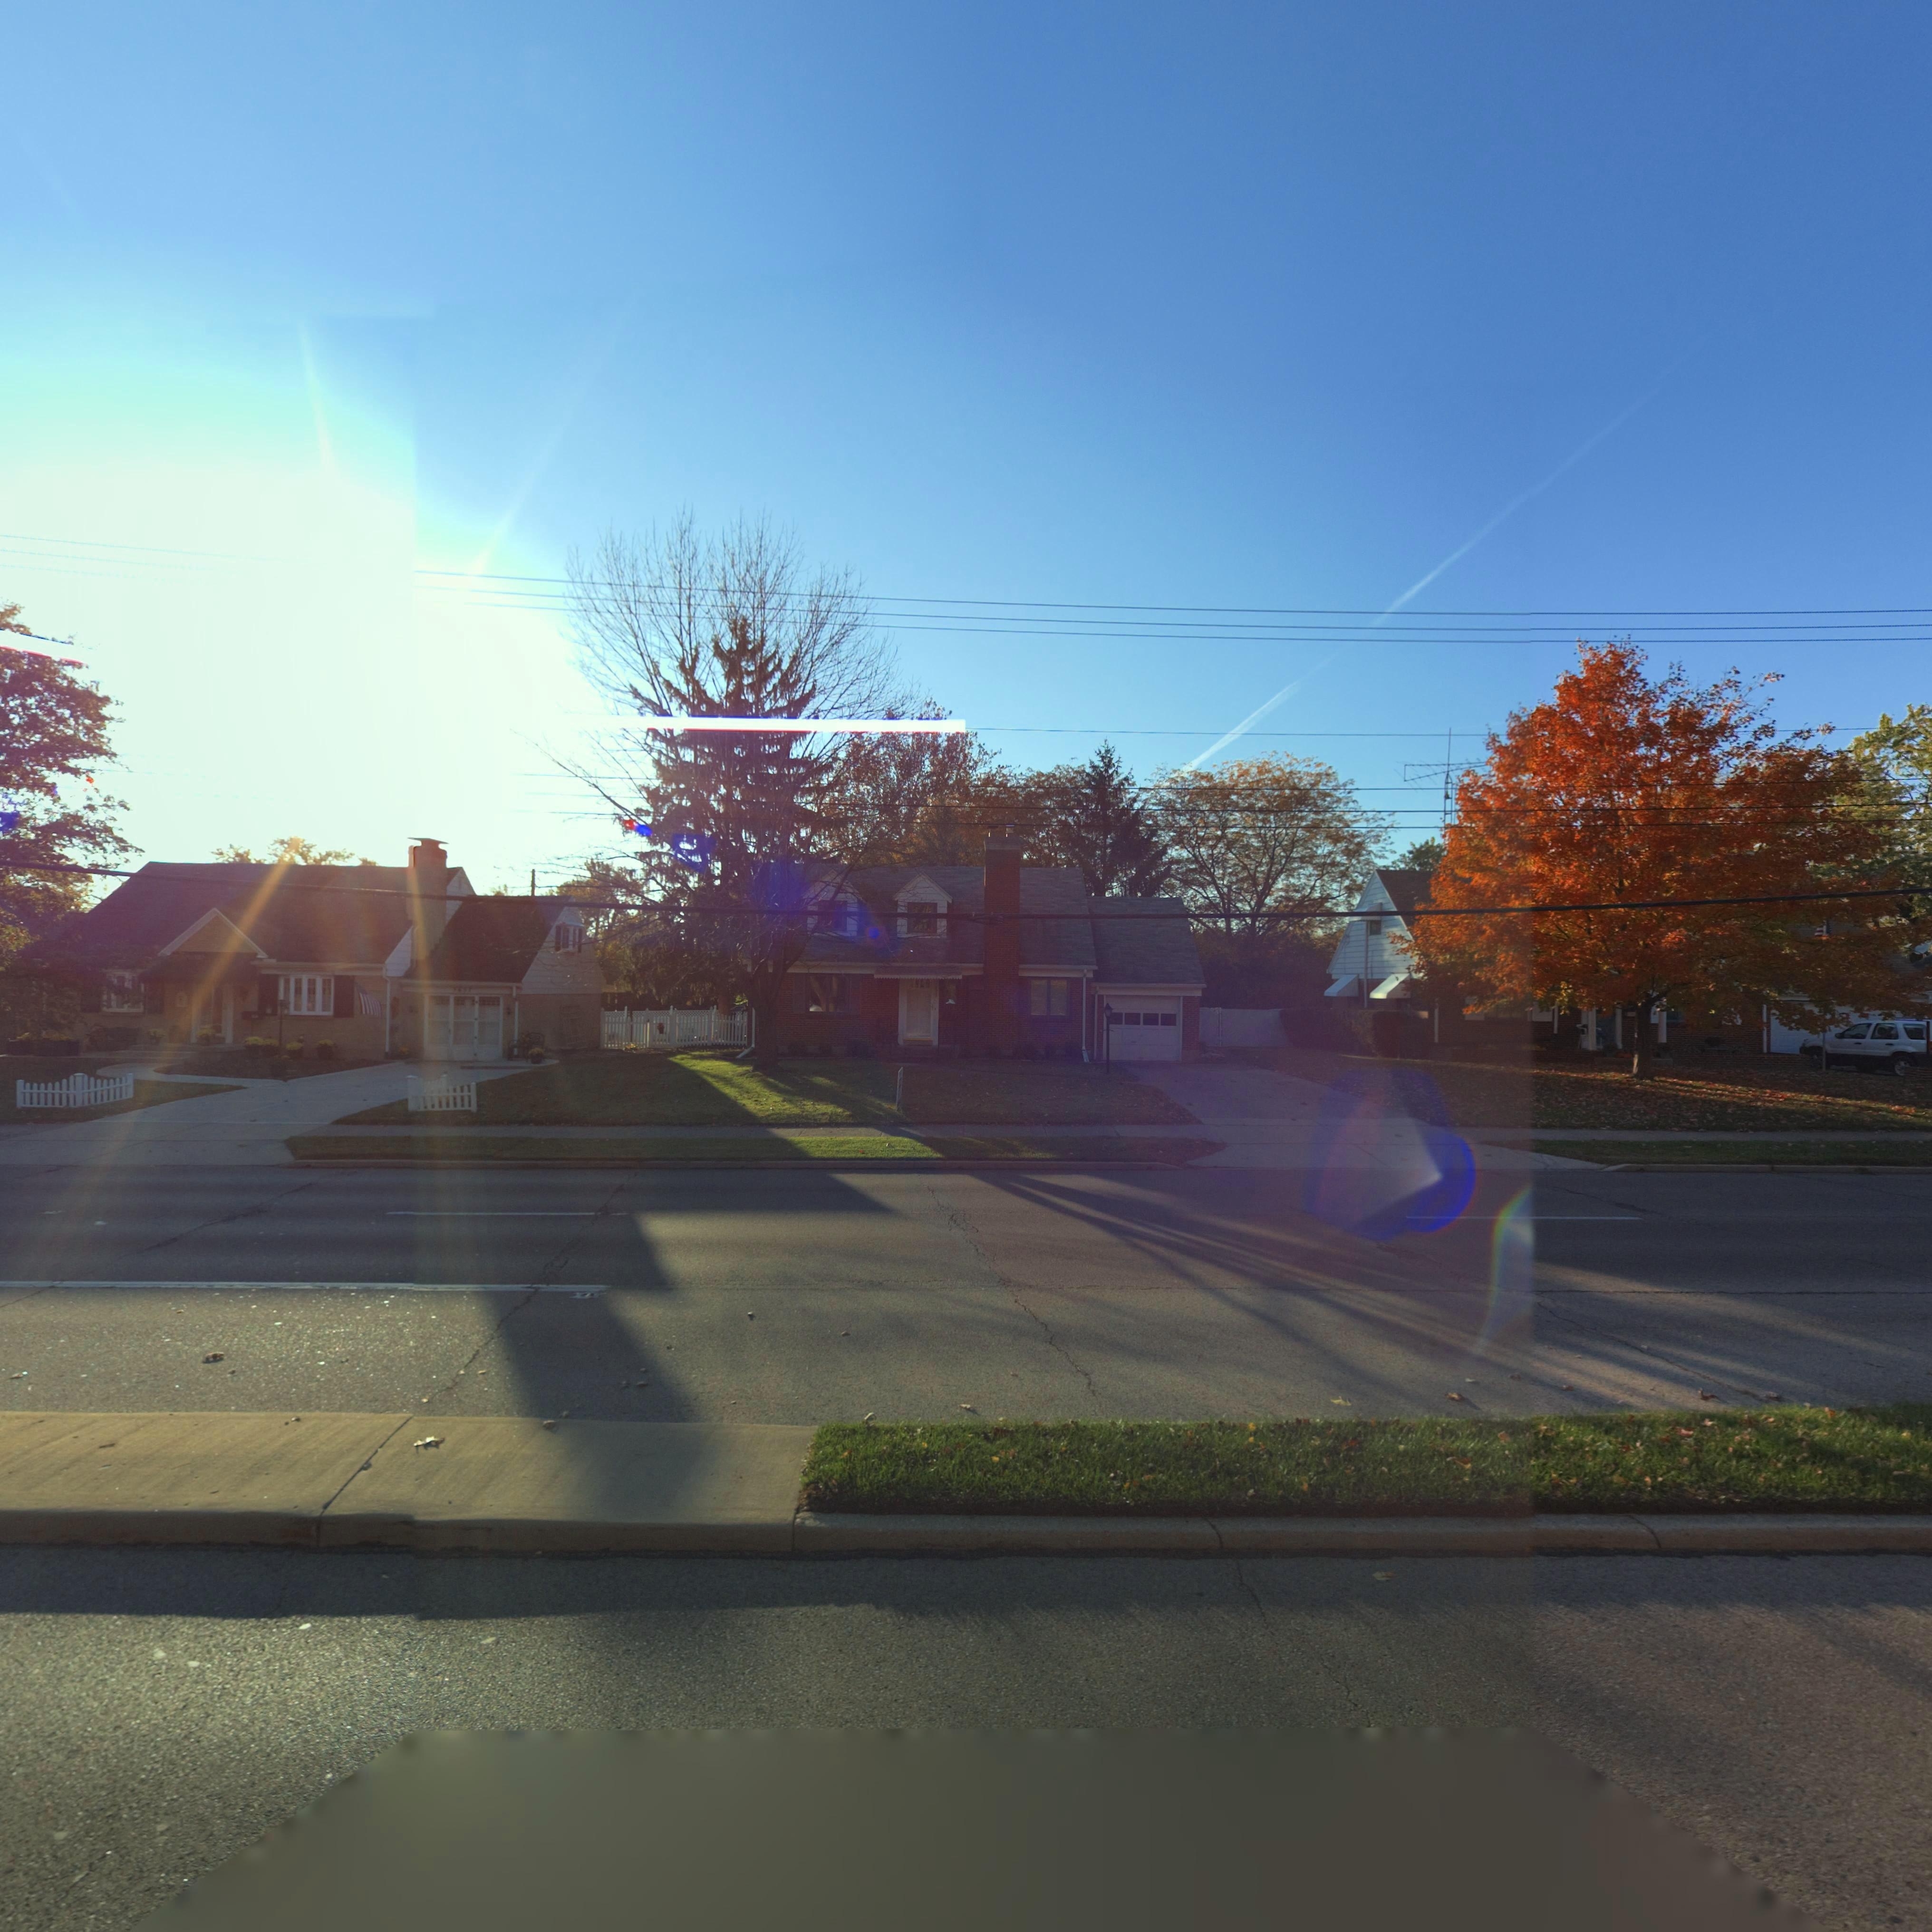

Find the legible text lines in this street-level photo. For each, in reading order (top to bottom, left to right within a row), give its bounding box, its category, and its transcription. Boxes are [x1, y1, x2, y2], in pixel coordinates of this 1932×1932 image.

[452, 987, 473, 992] StreetNumber: 3657